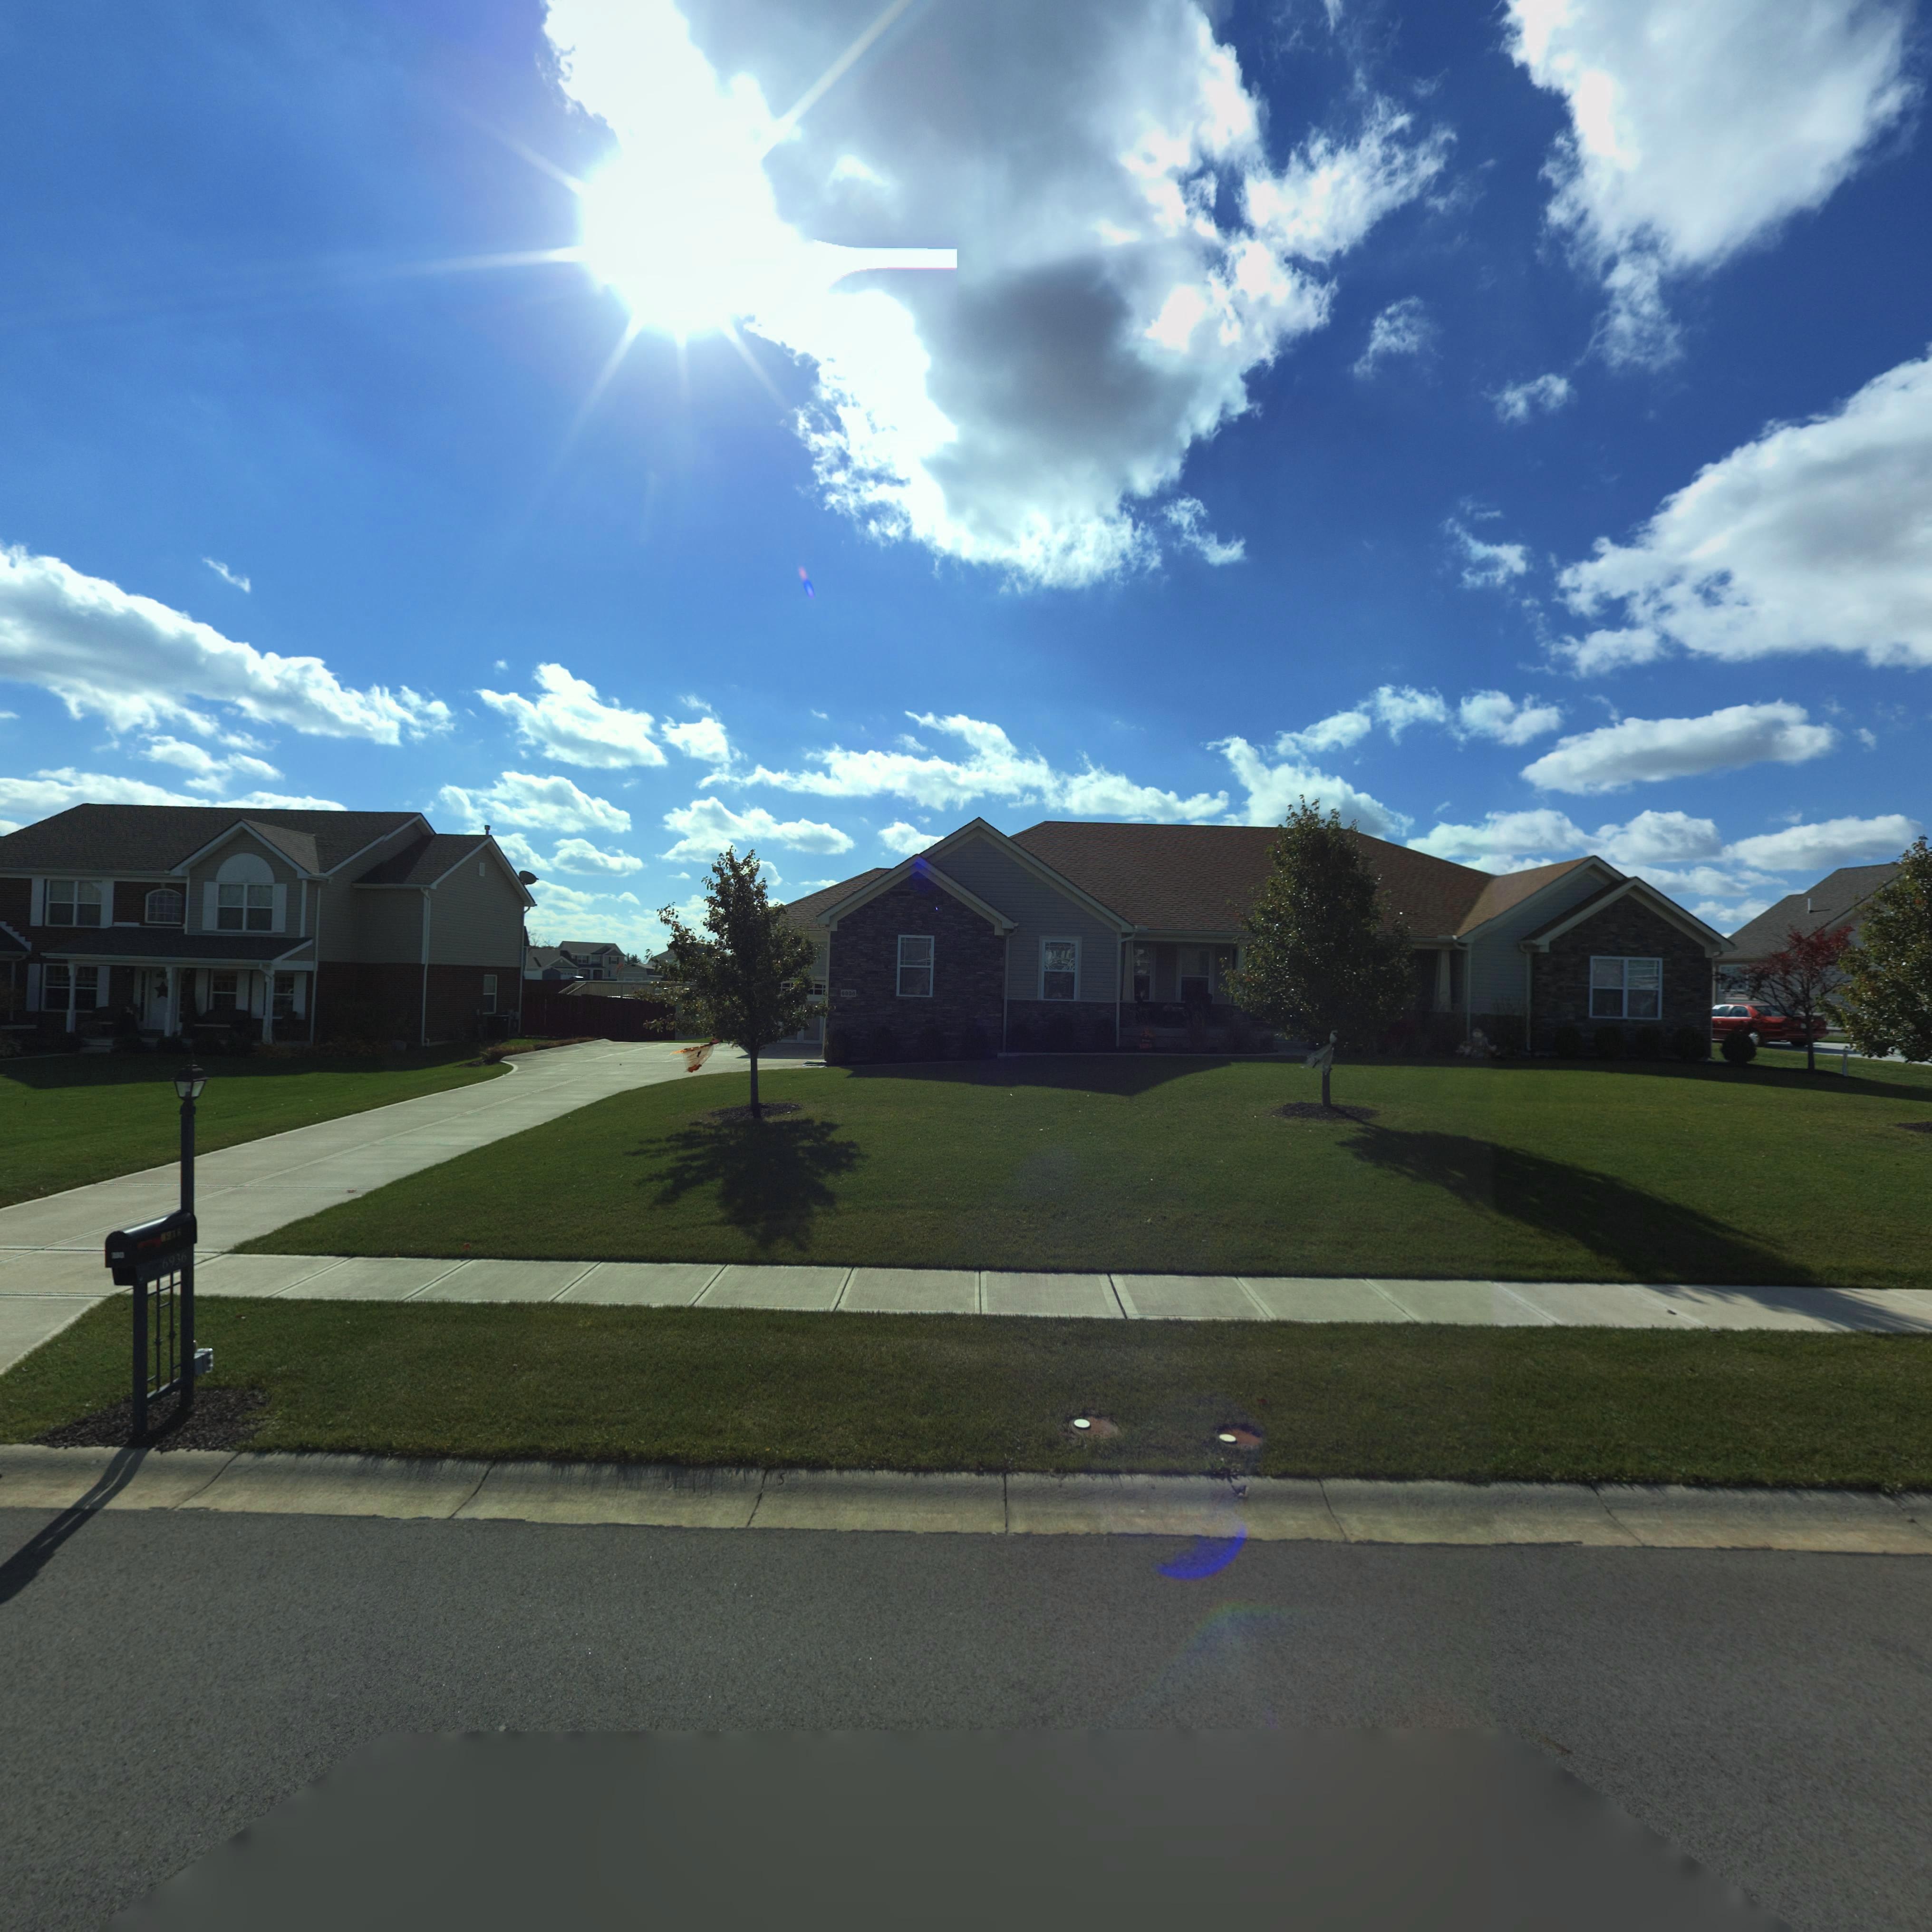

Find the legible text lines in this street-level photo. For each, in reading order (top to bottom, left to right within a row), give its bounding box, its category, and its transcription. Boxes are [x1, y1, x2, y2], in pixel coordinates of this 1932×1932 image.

[841, 990, 856, 996] StreetNumber: 6936
[160, 1227, 182, 1244] StreetNumber: *936
[161, 1250, 187, 1270] StreetNumber: 6936